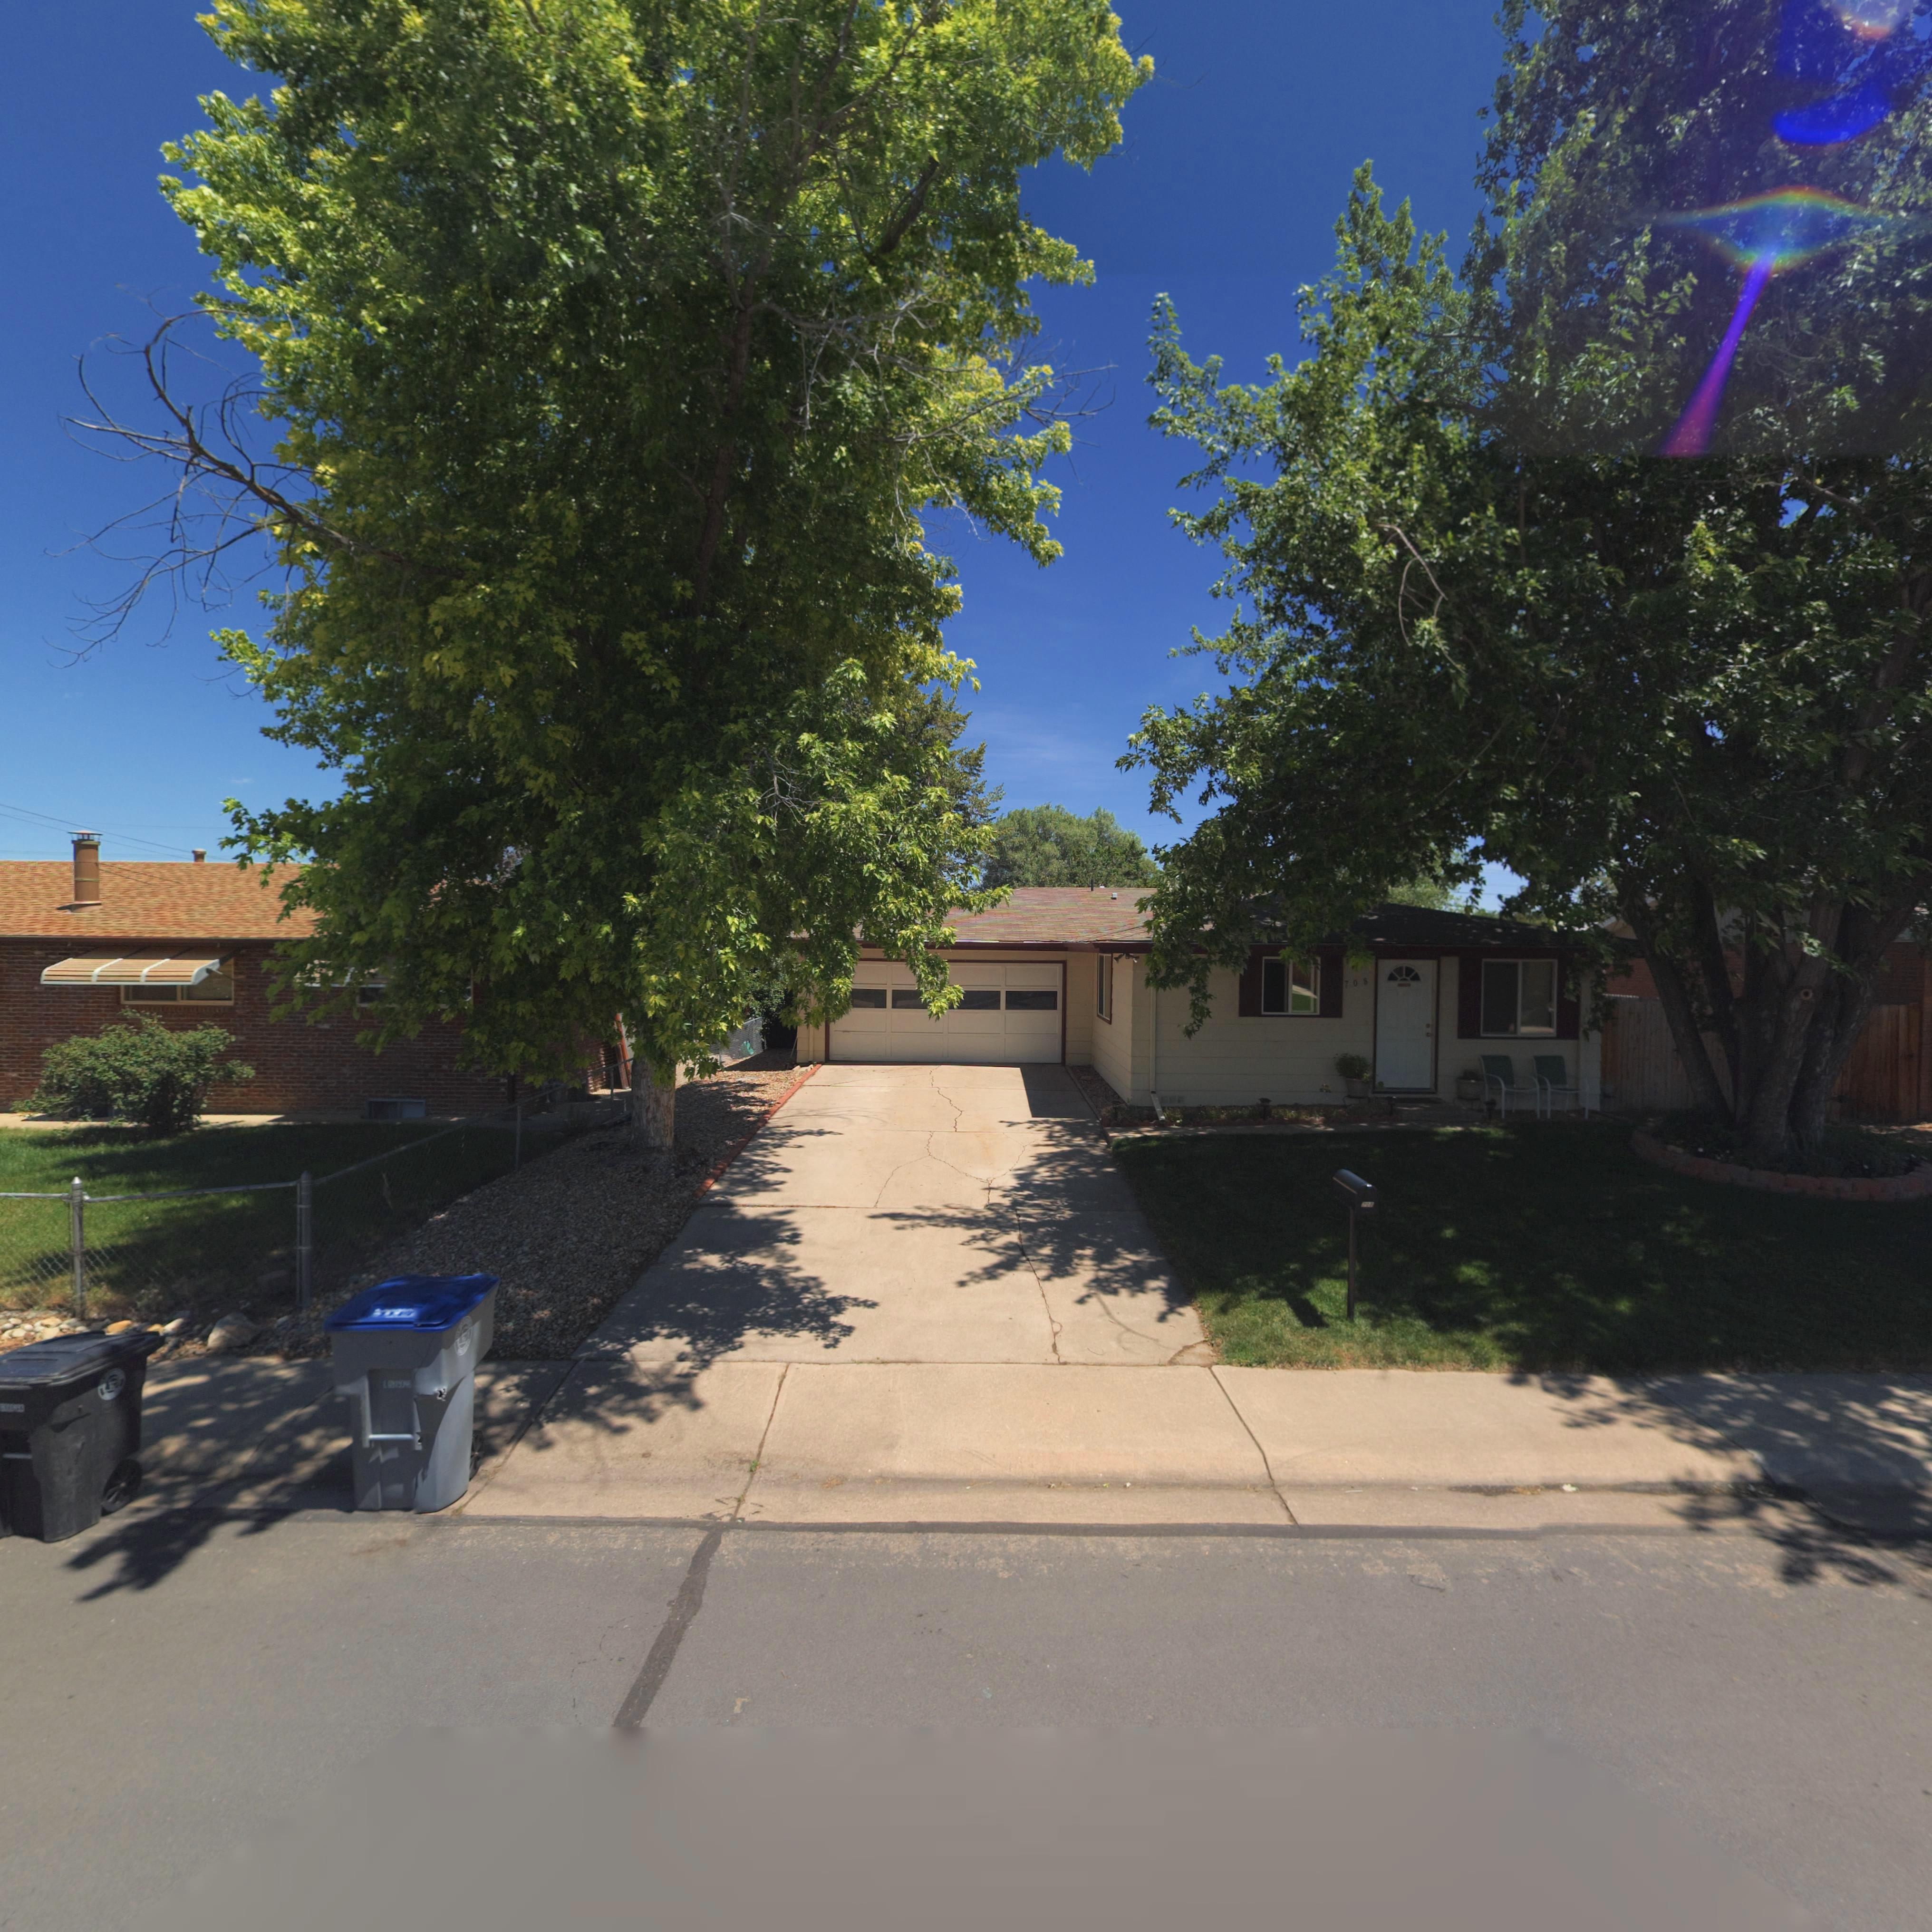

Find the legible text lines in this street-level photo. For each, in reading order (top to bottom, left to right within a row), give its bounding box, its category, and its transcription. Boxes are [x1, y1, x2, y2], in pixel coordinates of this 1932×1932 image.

[1343, 976, 1368, 989] StreetNumber: 708
[1361, 1201, 1373, 1207] StreetNumber: 708